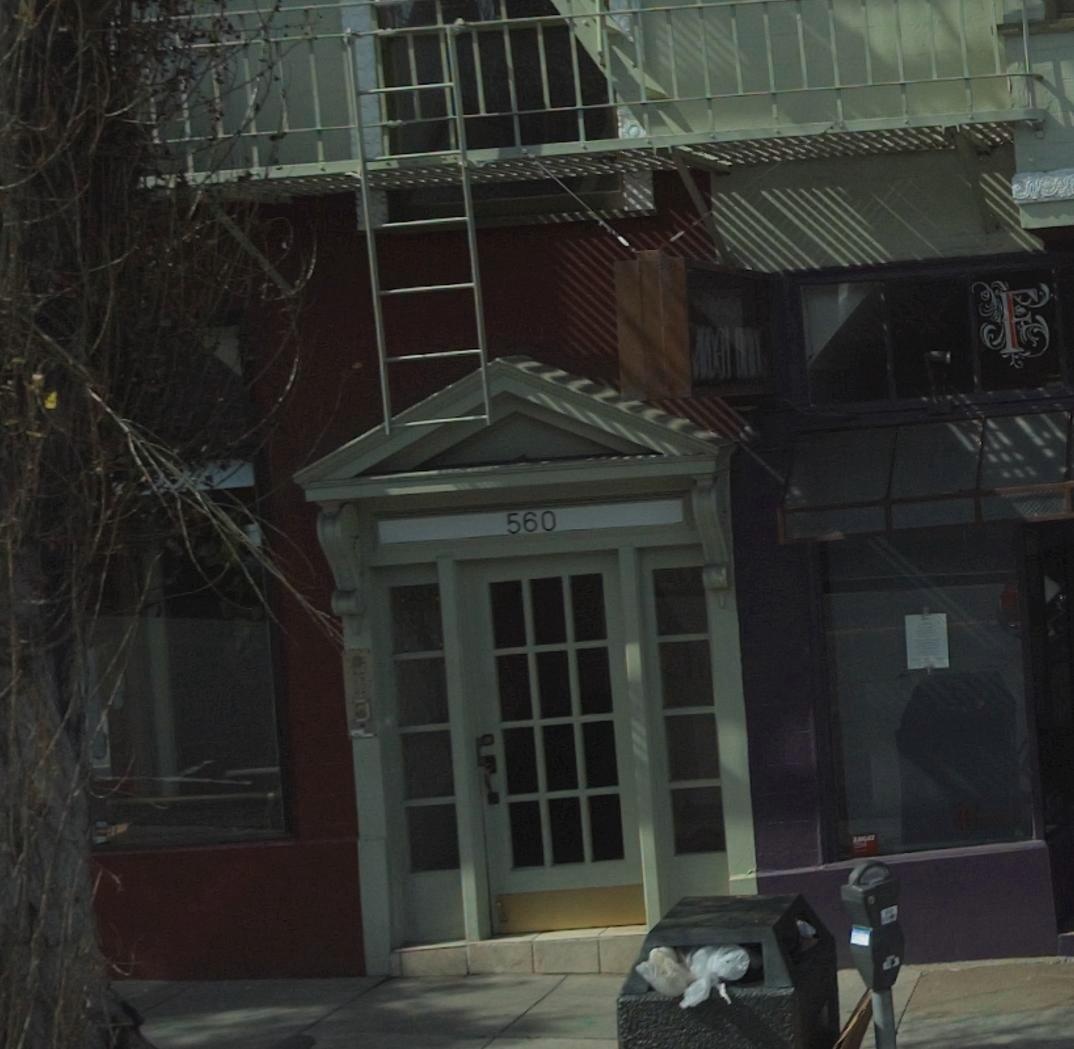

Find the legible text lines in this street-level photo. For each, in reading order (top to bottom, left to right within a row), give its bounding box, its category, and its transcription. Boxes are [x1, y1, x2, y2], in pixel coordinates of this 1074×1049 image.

[505, 509, 558, 536] StreetNumber: 560